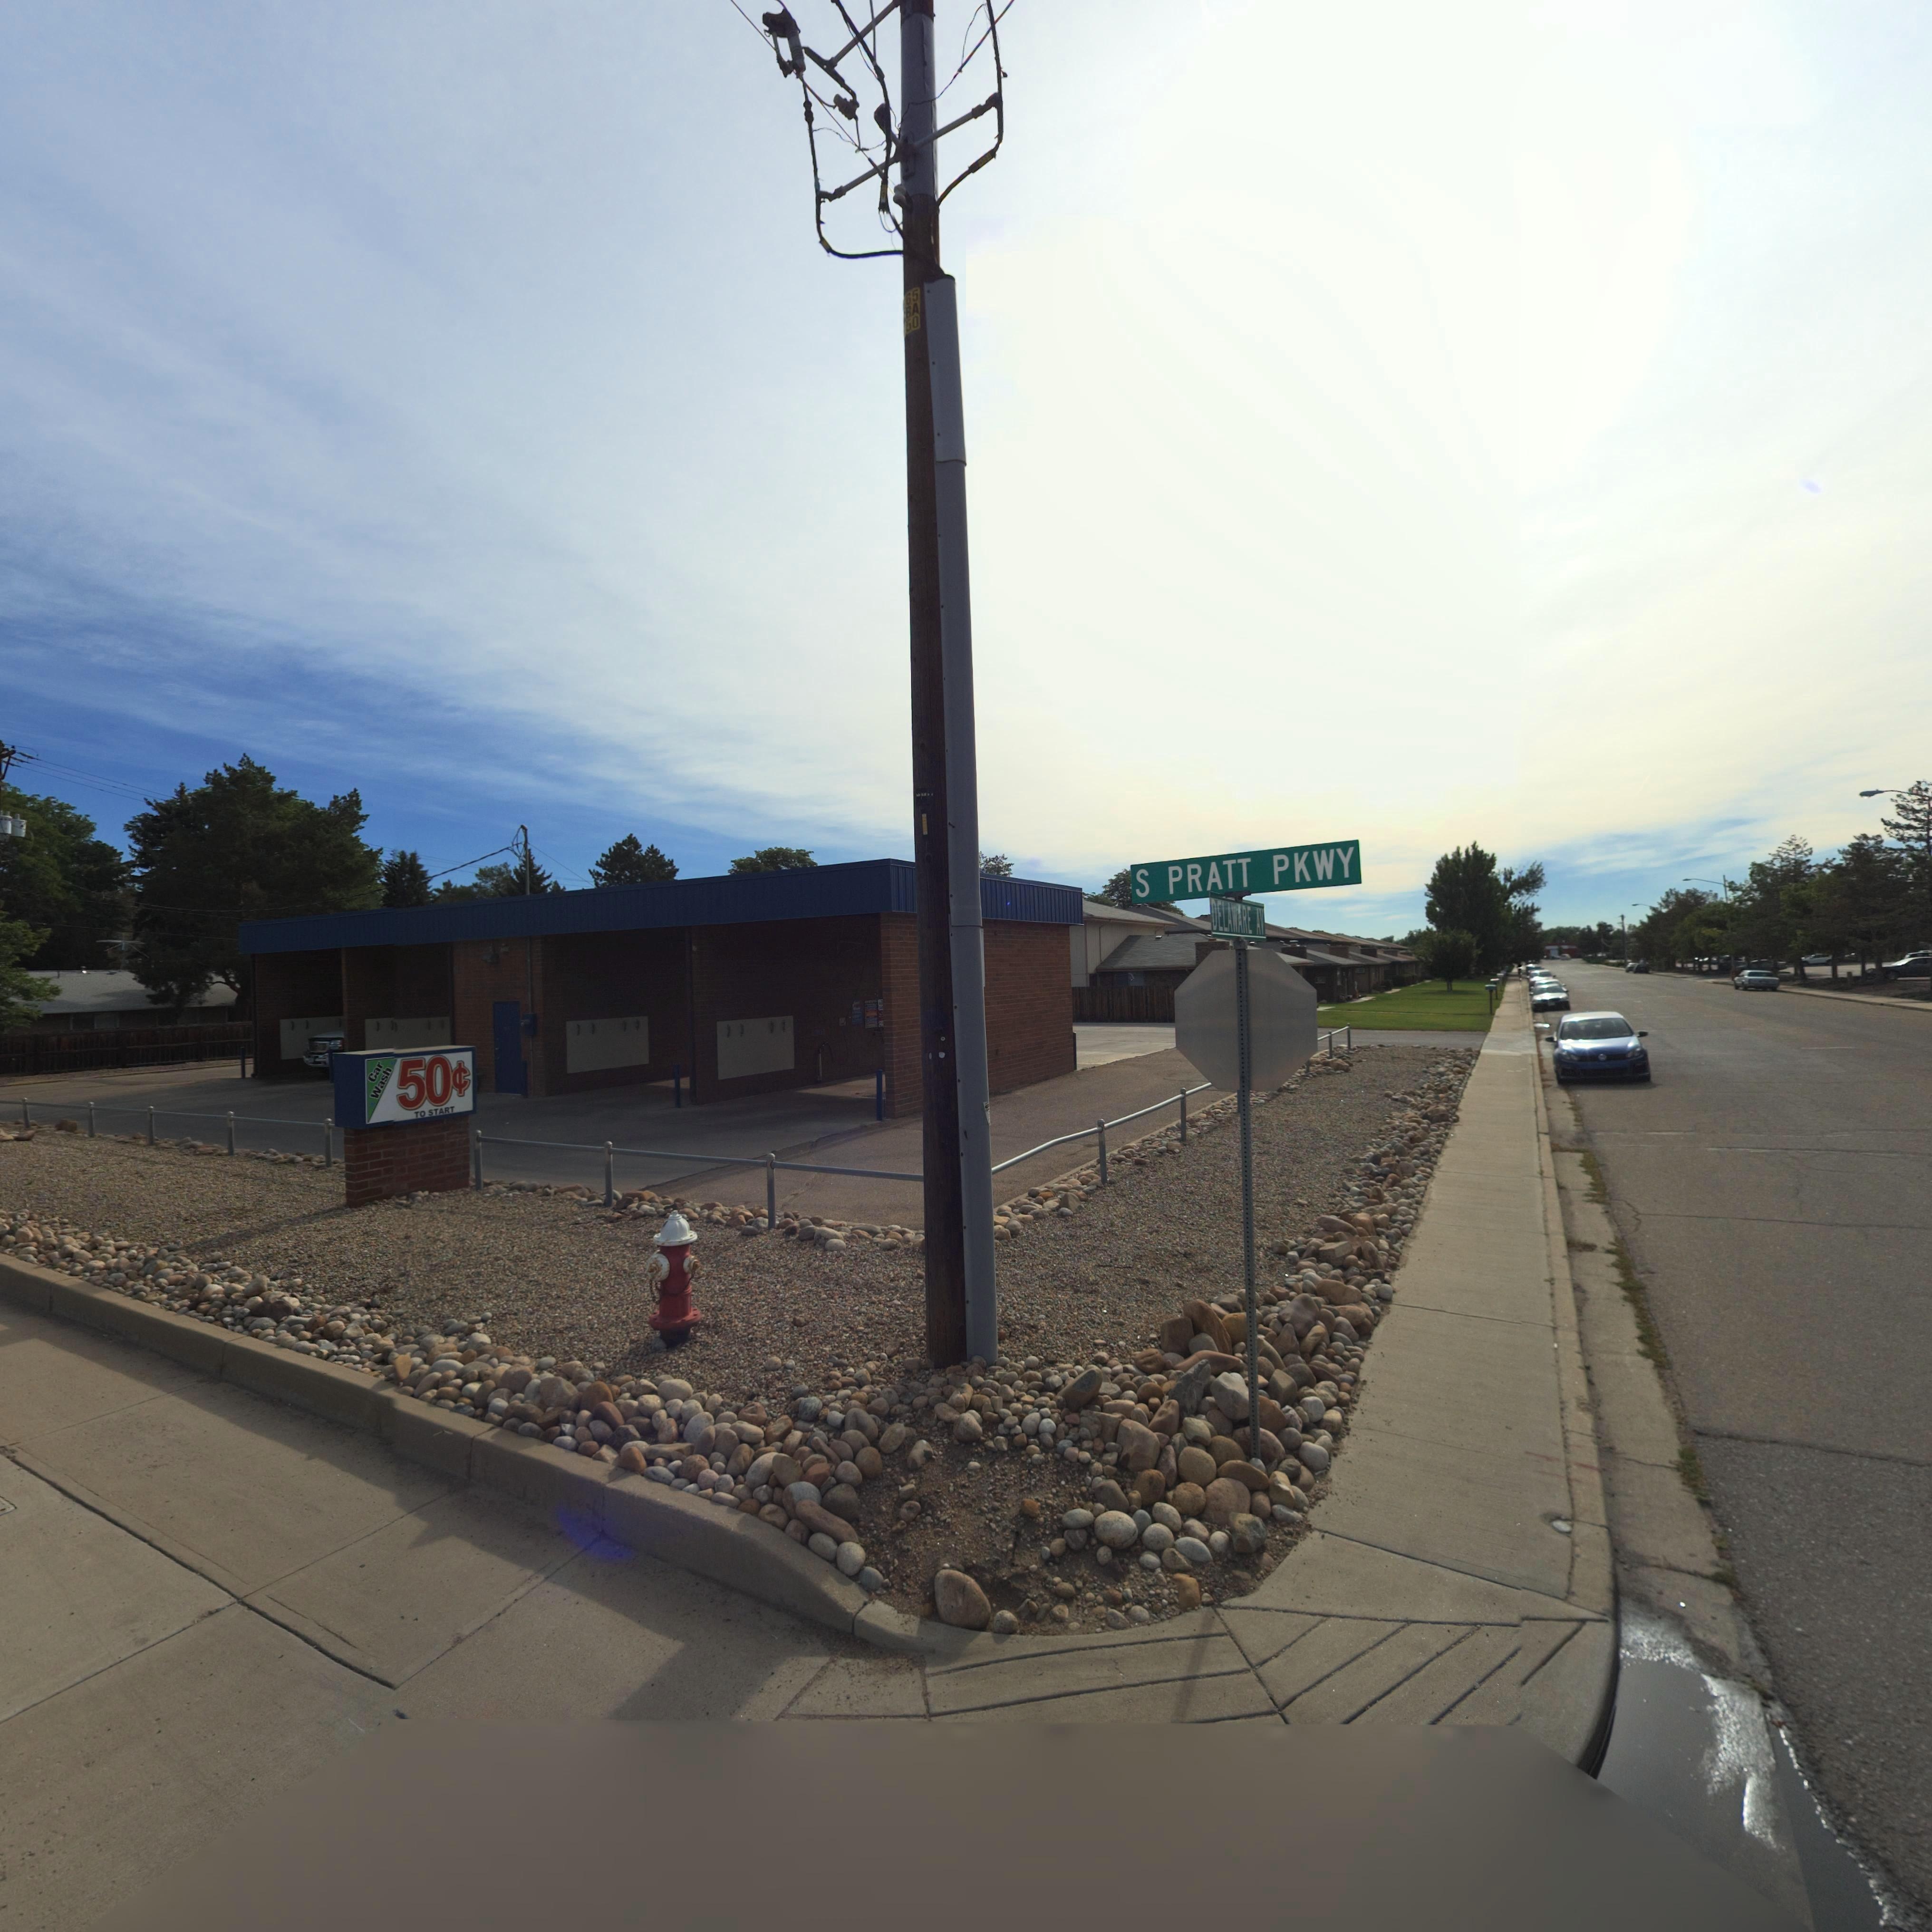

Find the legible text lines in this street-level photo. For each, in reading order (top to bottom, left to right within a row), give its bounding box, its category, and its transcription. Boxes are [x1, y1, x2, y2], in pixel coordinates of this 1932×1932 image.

[1133, 843, 1357, 899] StreetName: S PRATT PKWY
[1208, 897, 1265, 937] StreetName: DELAWARE AV